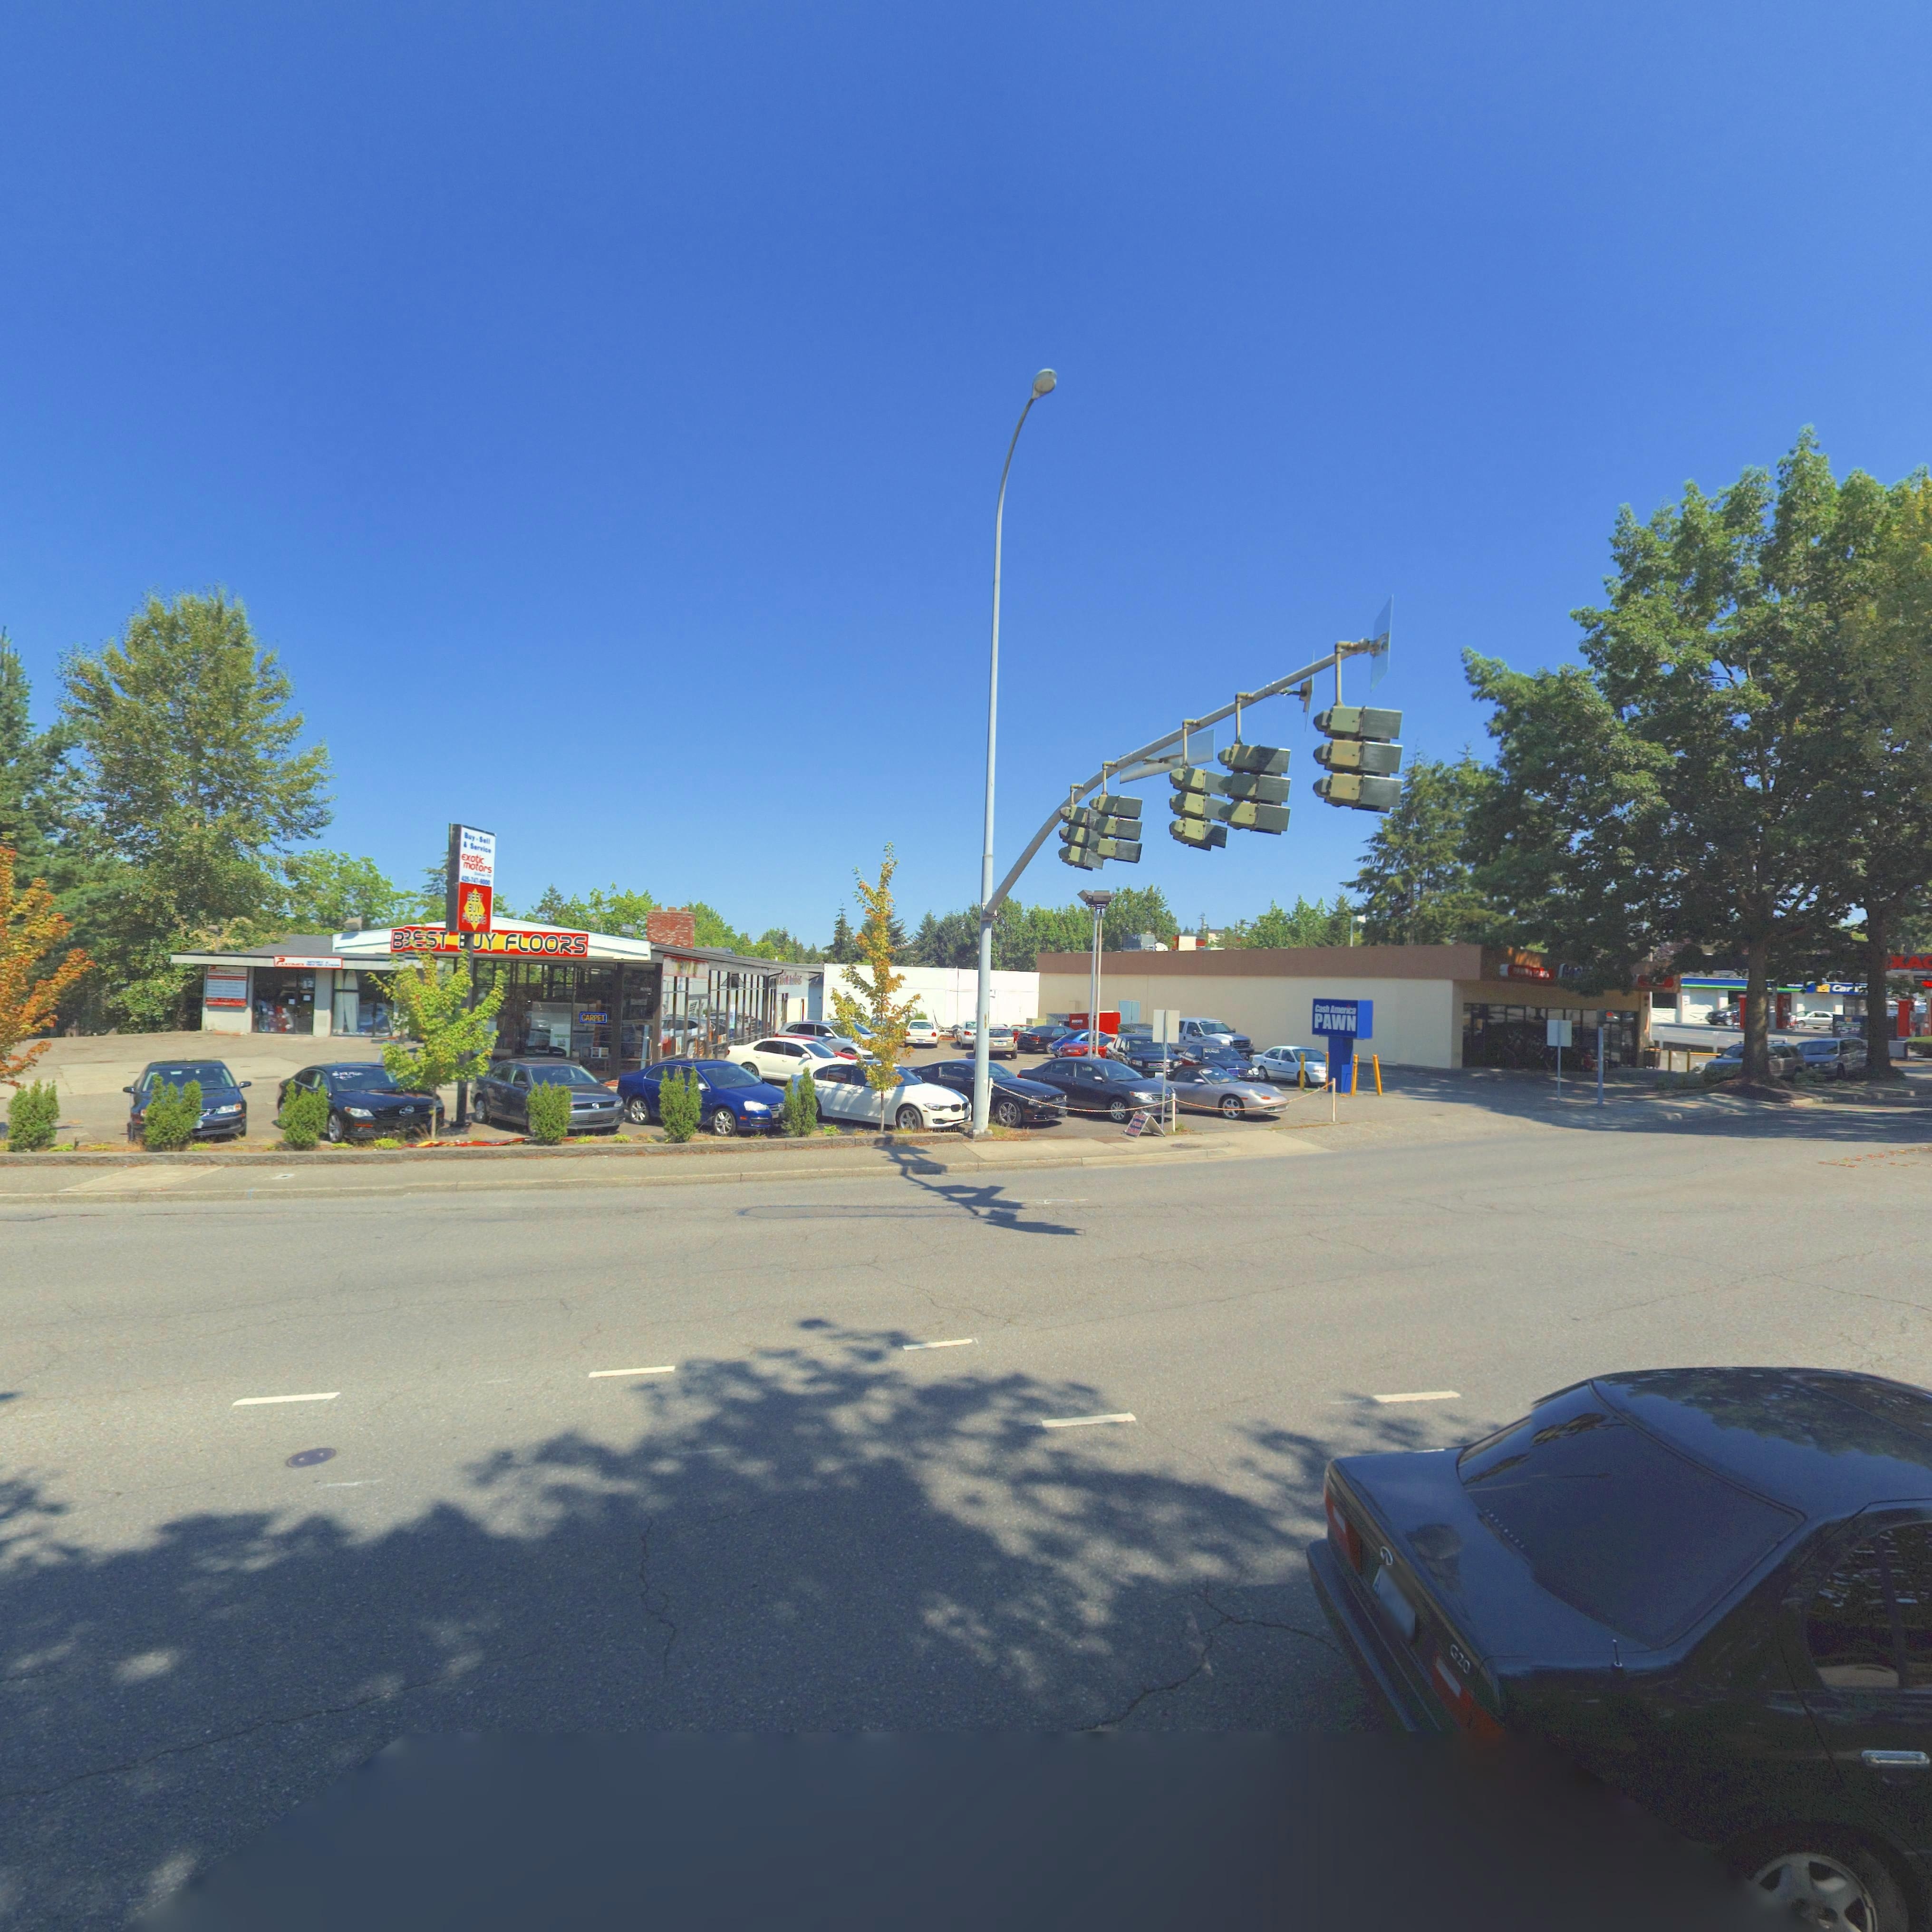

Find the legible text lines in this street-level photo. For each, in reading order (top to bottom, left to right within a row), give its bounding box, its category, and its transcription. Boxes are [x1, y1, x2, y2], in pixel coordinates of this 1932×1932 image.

[461, 852, 484, 864] BusinessName: exotic
[462, 861, 492, 873] BusinessName: motors
[466, 892, 483, 903] BusinessName: BEST
[468, 902, 481, 913] BusinessName: BUY
[462, 913, 486, 924] BusinessName: FLOORS
[393, 928, 587, 956] BusinessName: BEST BUY FLOORS
[1887, 954, 1924, 969] BusinessName: XA
[1831, 984, 1853, 992] BusinessName: Car
[1314, 1005, 1356, 1015] BusinessName: Cash America
[1314, 1013, 1356, 1032] BusinessName: PAWN